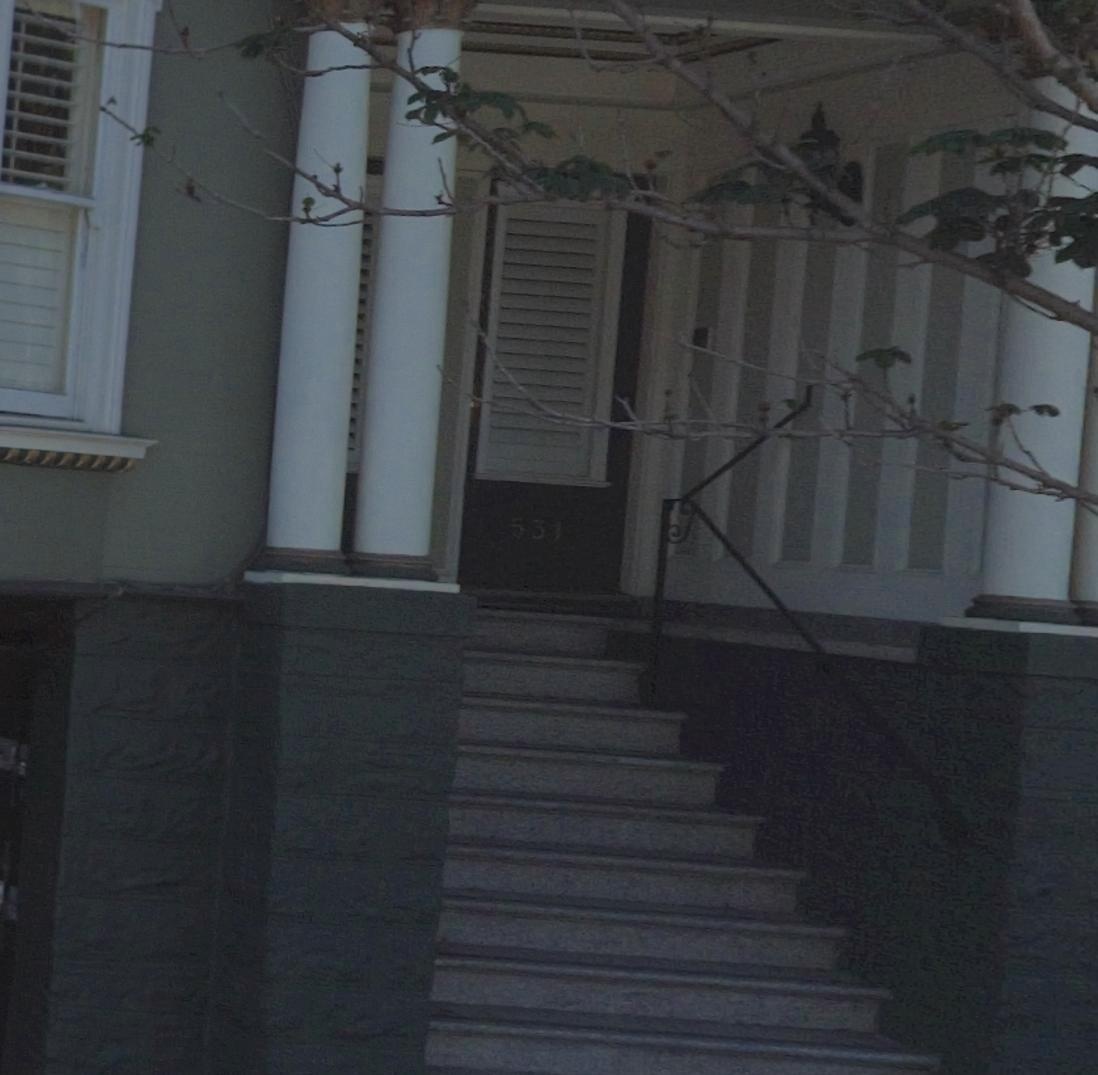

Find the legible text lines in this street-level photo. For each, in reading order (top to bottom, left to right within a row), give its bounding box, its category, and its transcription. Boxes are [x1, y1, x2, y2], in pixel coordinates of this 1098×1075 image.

[508, 515, 565, 545] StreetNumber: 531